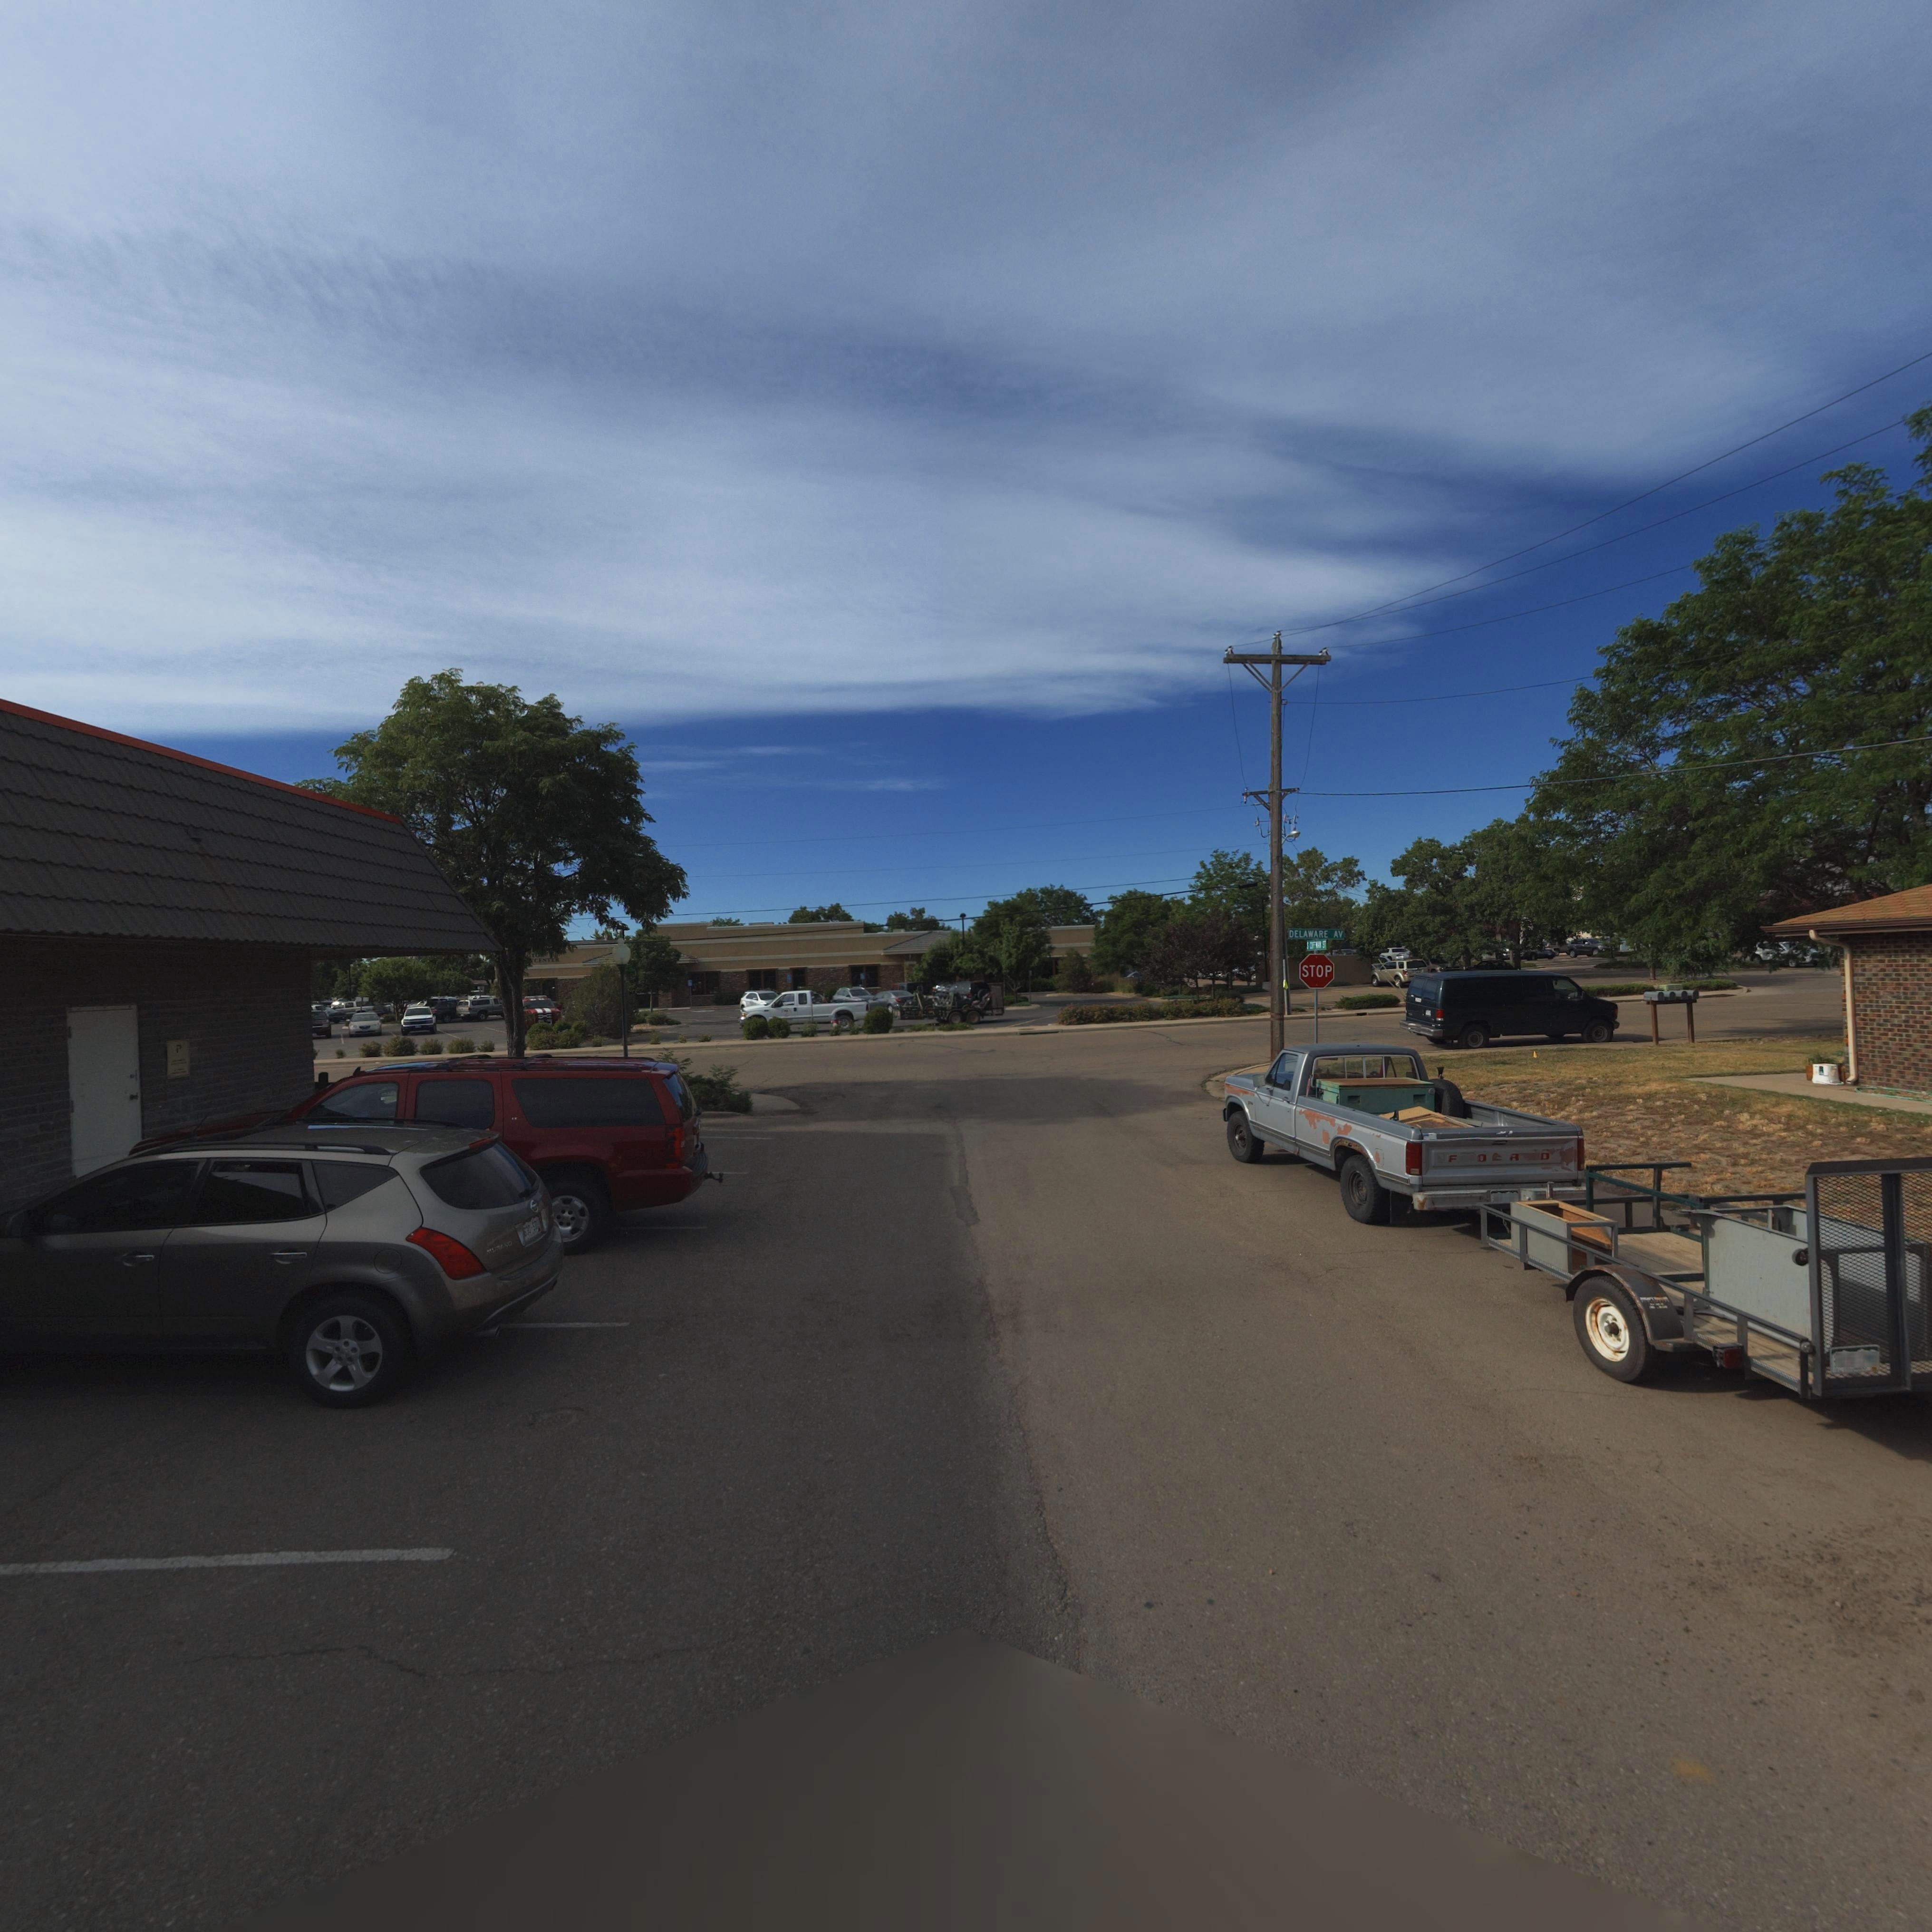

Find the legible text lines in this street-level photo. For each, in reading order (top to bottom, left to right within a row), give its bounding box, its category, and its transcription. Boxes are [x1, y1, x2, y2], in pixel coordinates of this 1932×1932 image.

[1288, 929, 1343, 938] StreetName: DELAWARE AV
[1306, 939, 1326, 949] StreetName: S C*FF*** ST